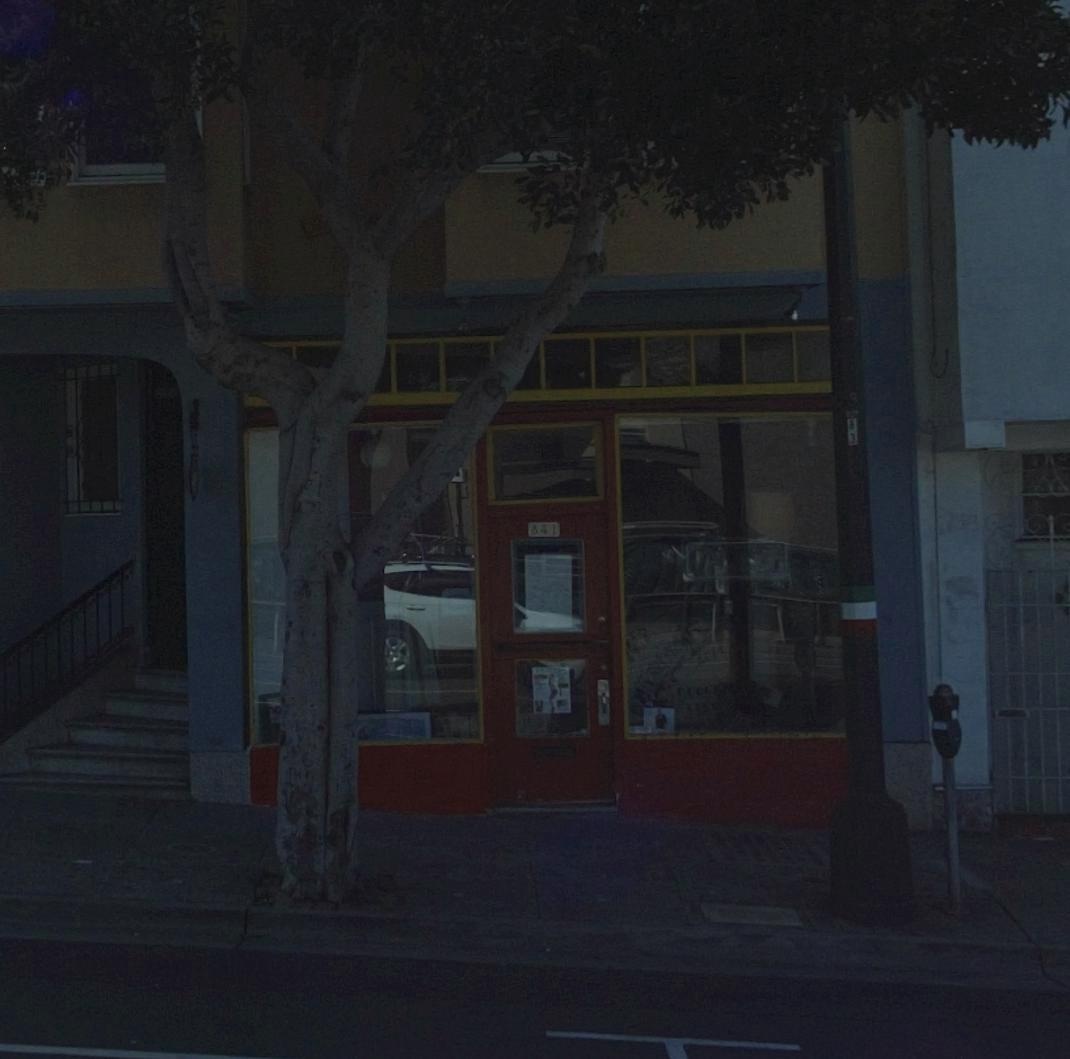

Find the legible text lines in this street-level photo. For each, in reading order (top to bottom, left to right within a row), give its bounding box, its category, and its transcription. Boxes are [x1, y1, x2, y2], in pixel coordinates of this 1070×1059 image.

[846, 390, 860, 409] None: 5
[847, 417, 857, 446] None: 83
[529, 522, 557, 537] StreetNumber: 841